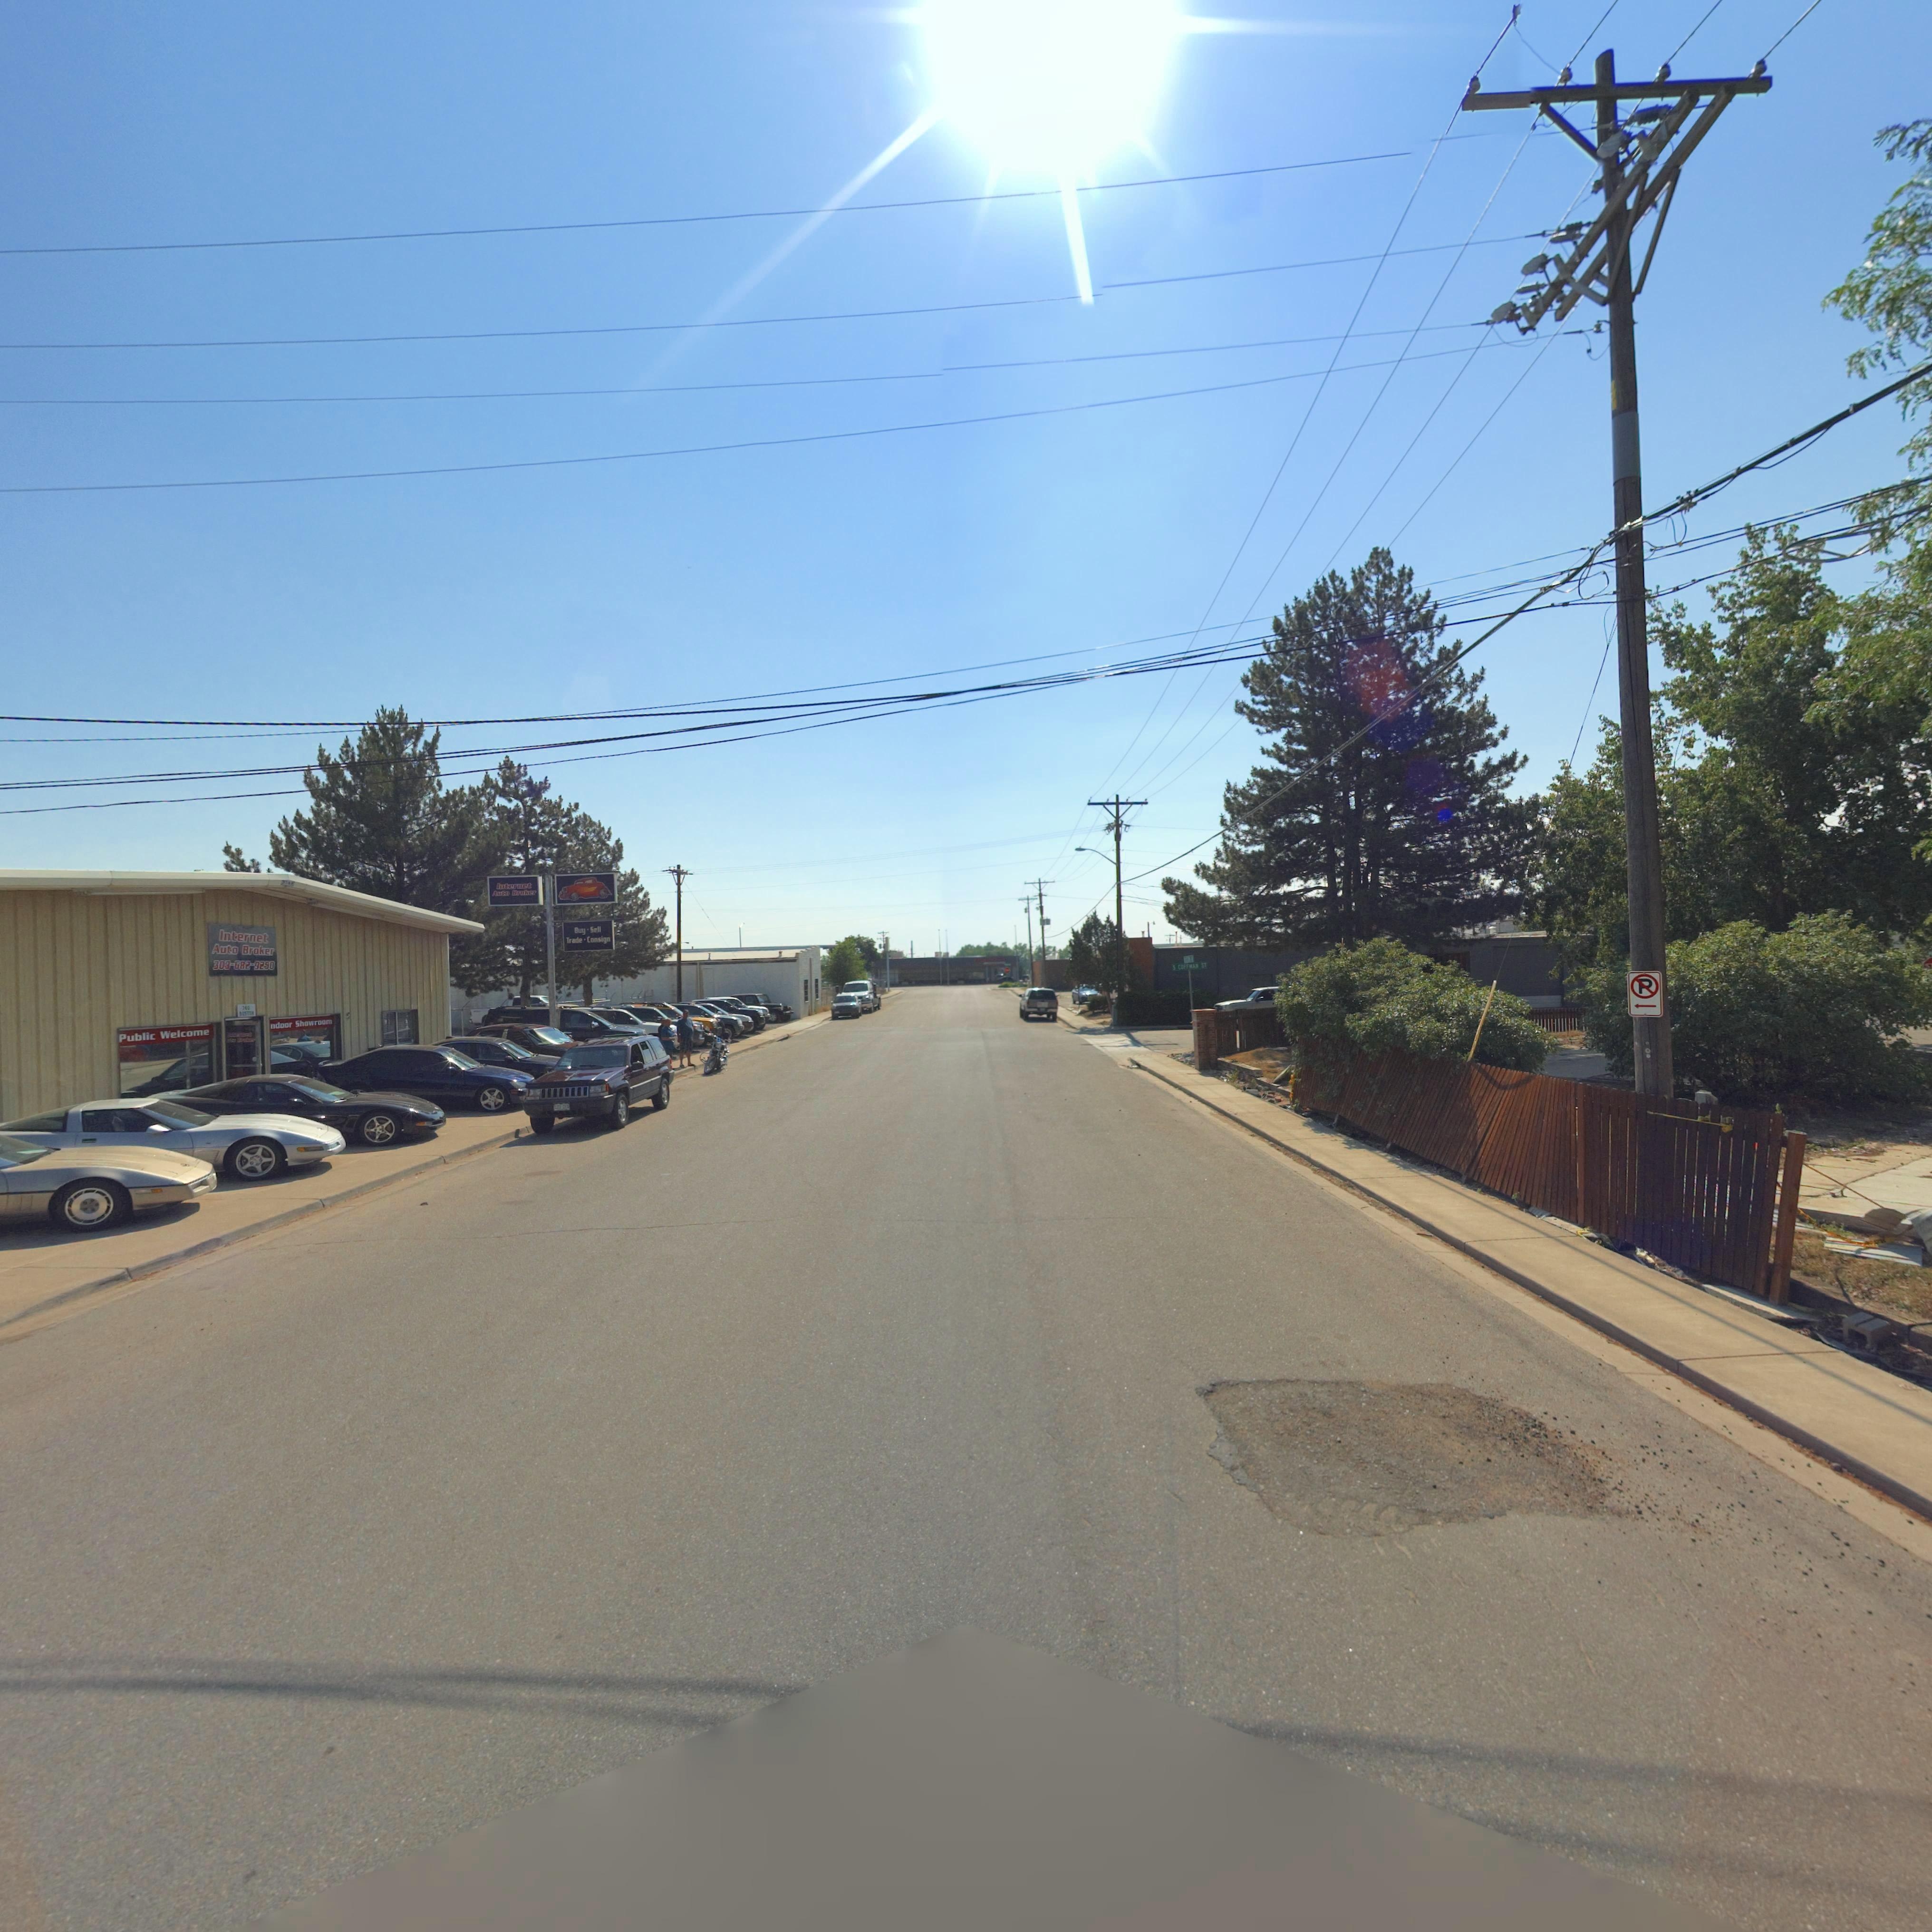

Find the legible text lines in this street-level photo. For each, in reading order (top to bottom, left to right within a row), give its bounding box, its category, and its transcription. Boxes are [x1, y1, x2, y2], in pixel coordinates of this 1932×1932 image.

[496, 883, 532, 889] BusinessName: Internet
[491, 889, 536, 897] BusinessName: Auto Broker
[218, 929, 269, 943] BusinessName: Internet
[211, 943, 276, 956] BusinessName: Auto Broker
[1172, 962, 1207, 970] StreetName: S COFFMAN ST
[241, 1005, 250, 1010] StreetNumber: 740
[238, 1011, 254, 1016] StreetName: **ST**